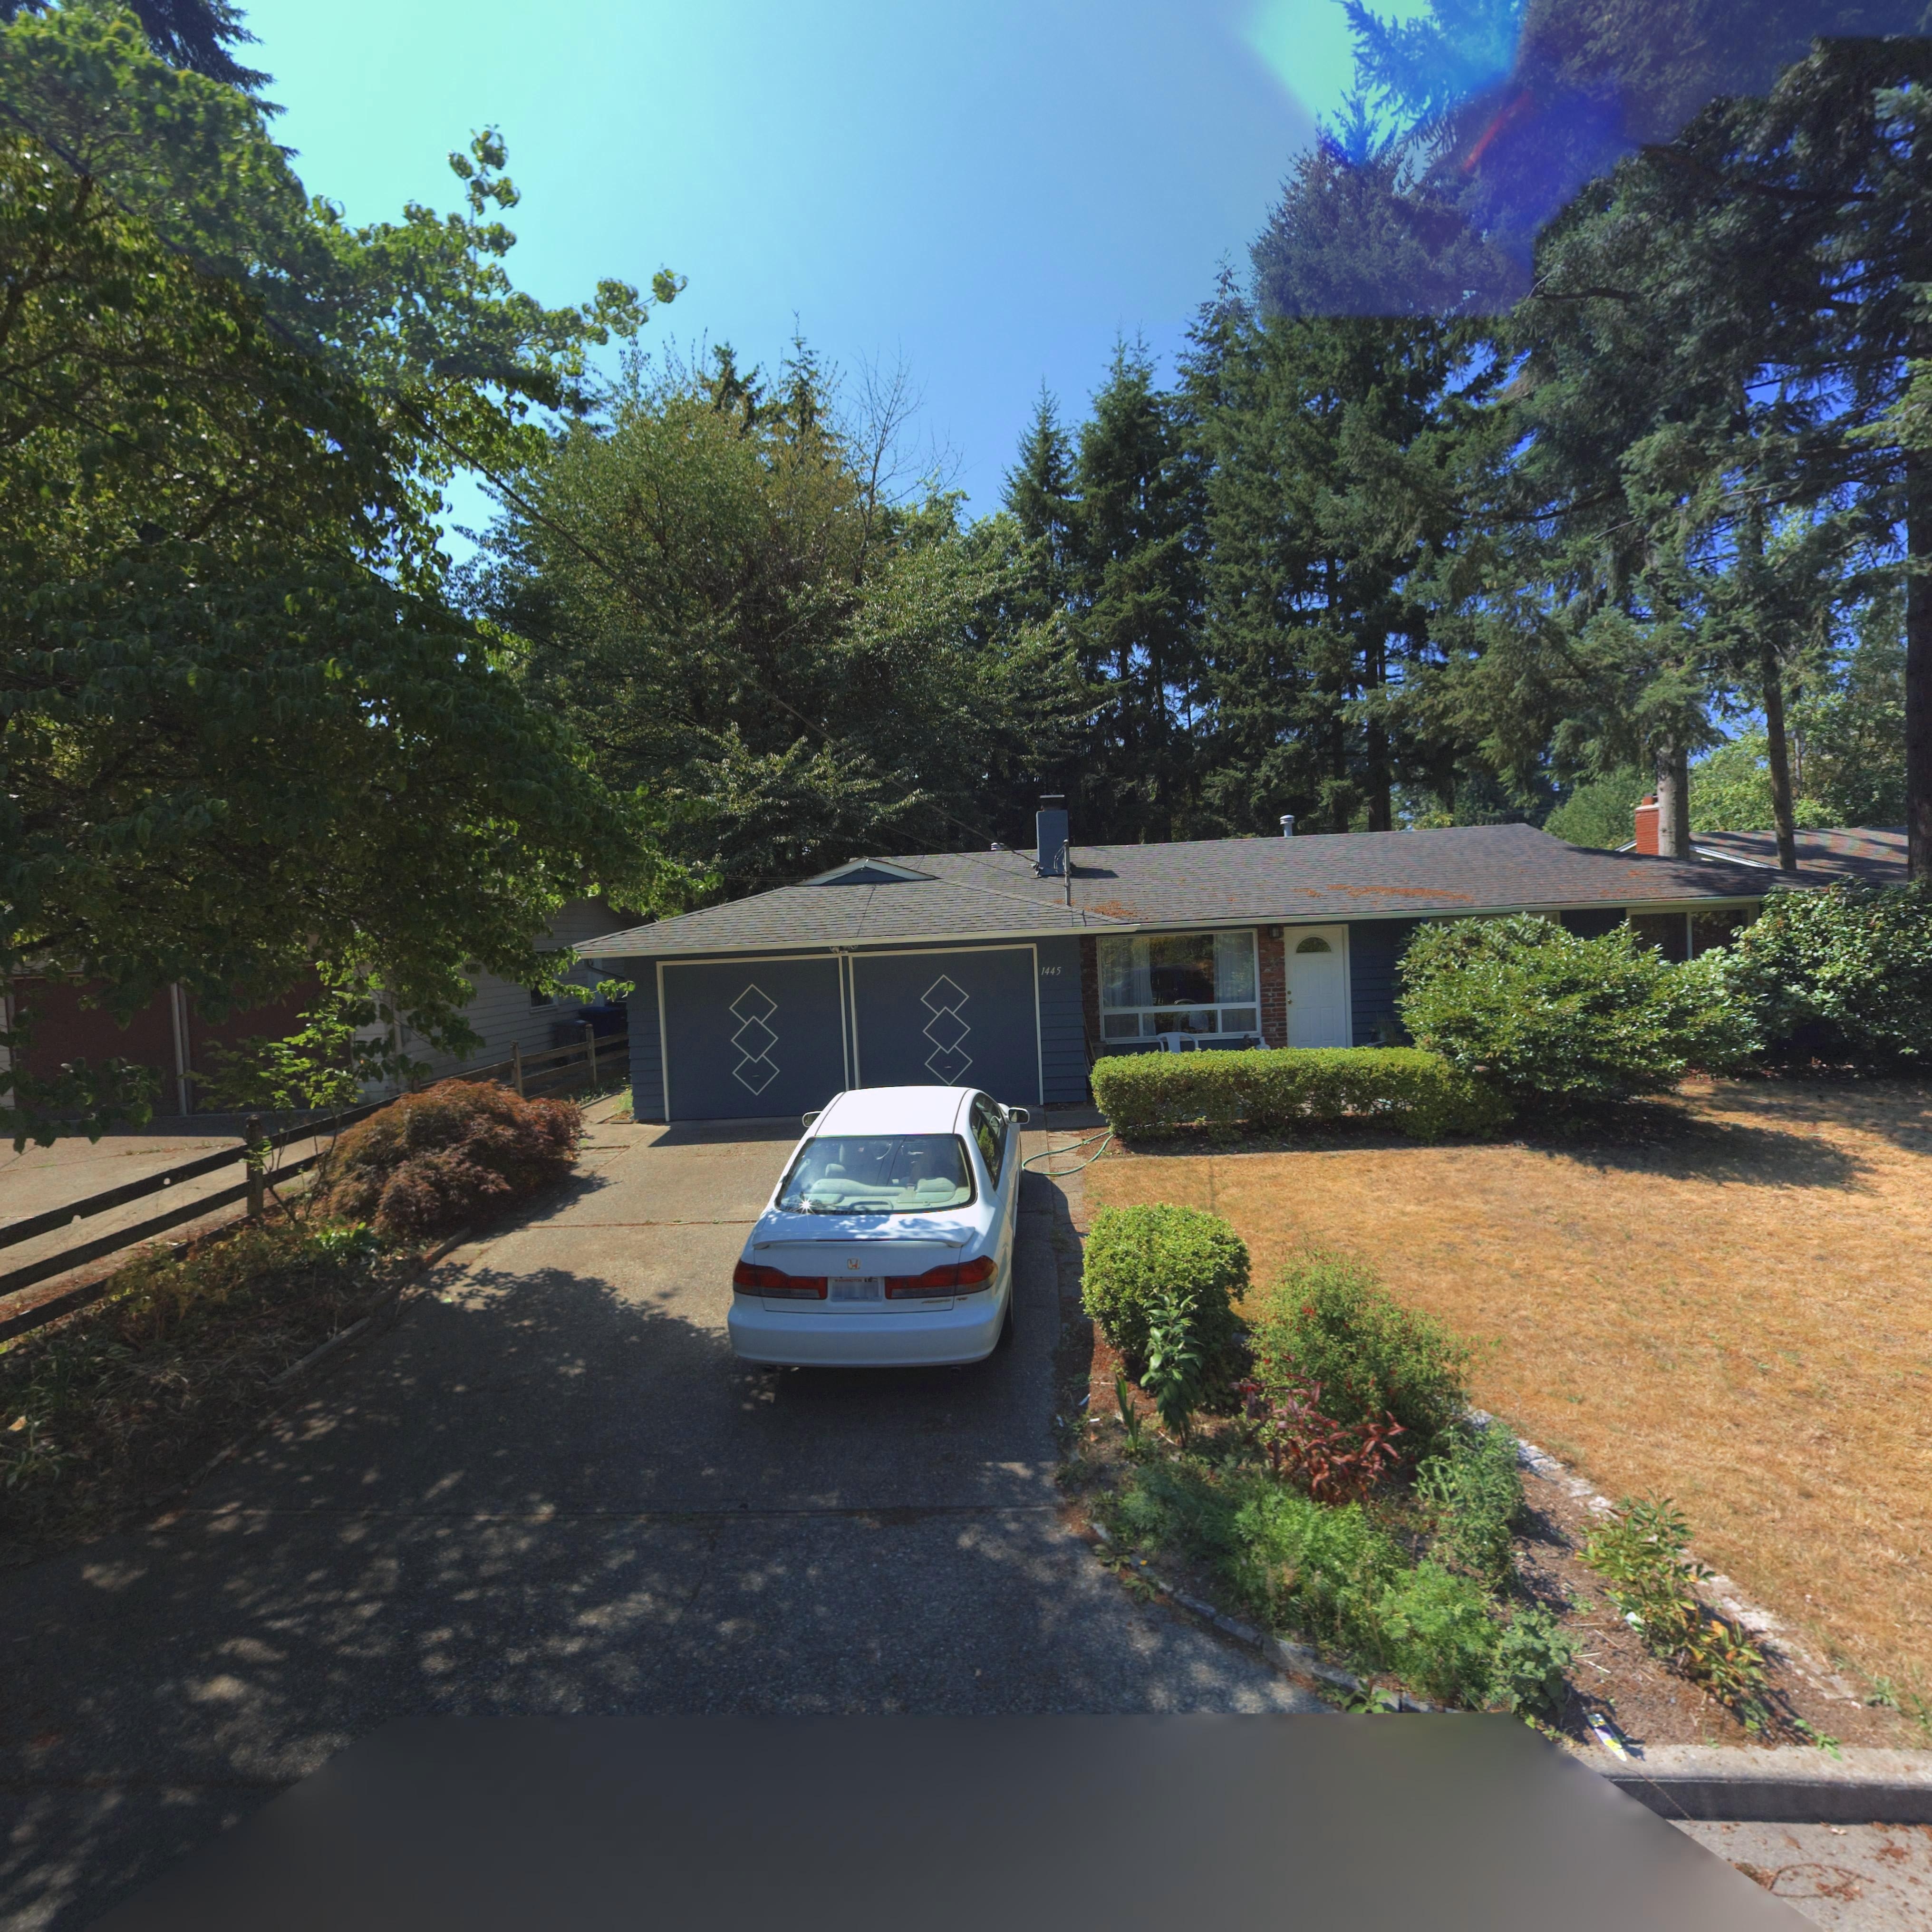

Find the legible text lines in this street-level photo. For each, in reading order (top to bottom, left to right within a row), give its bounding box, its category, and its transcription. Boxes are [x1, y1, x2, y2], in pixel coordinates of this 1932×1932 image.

[1040, 965, 1062, 976] StreetNumber: 1445